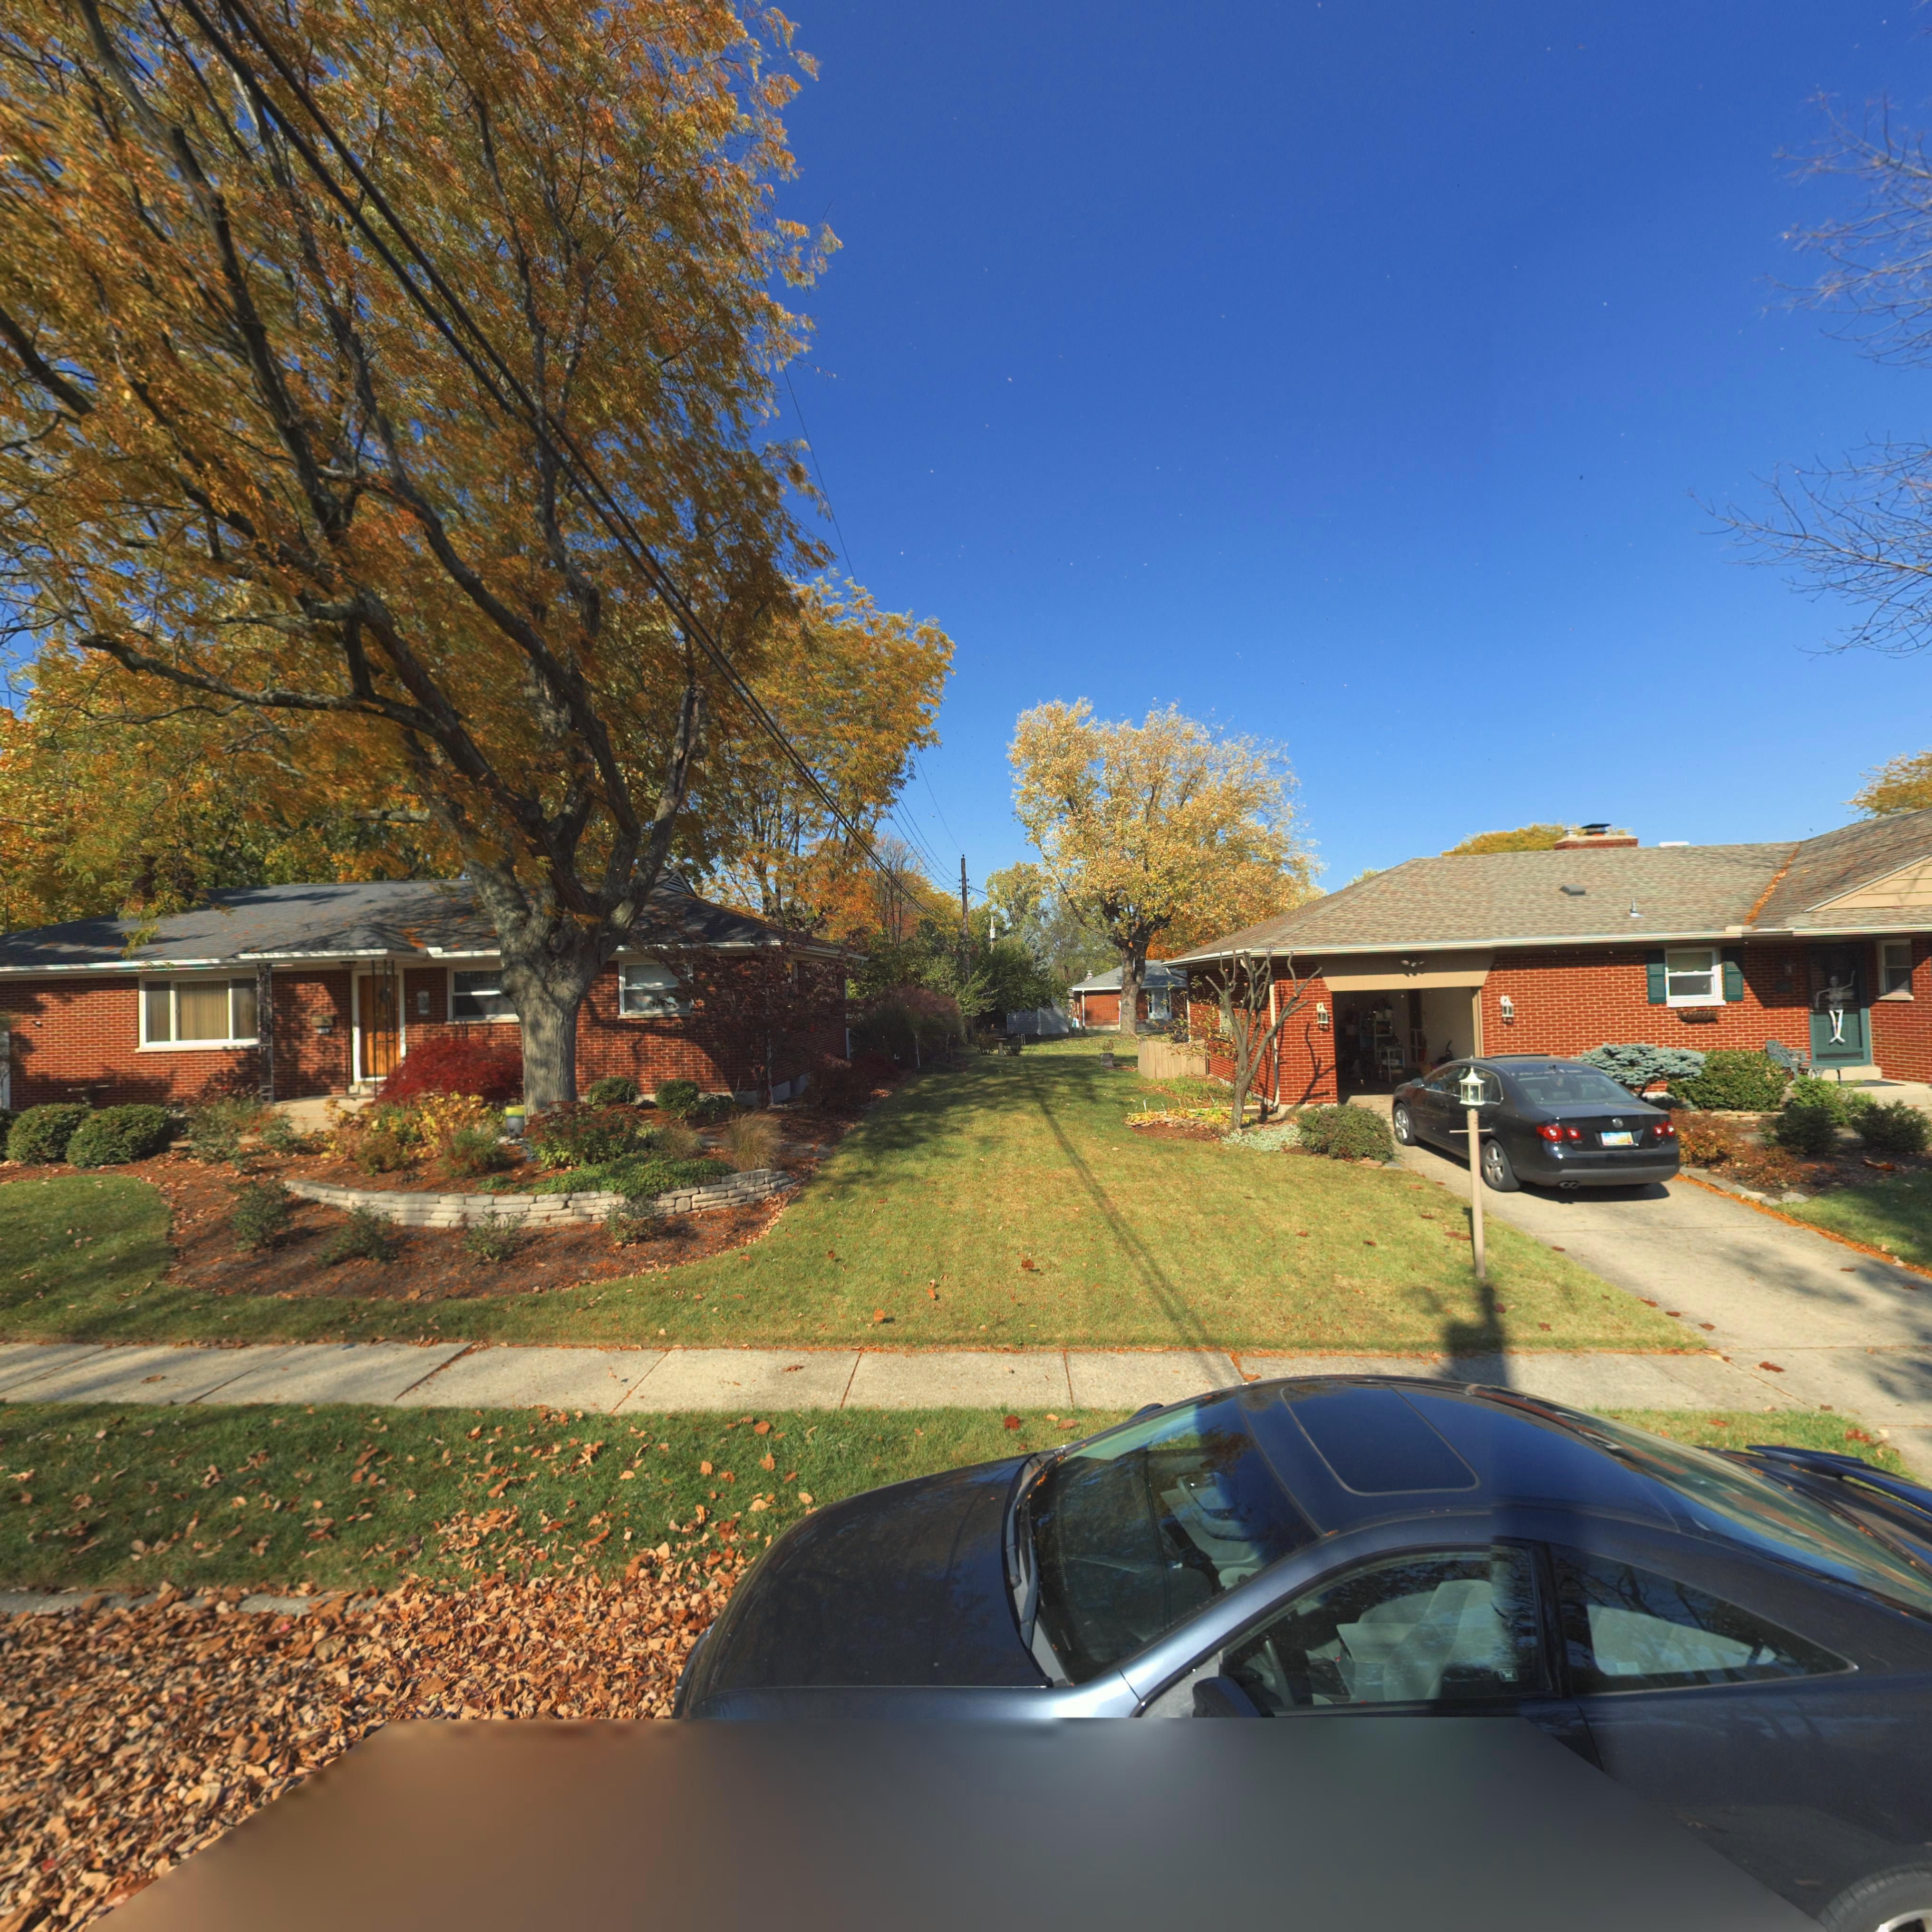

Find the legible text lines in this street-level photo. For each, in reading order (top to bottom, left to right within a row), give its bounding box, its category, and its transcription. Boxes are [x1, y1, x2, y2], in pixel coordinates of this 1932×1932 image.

[318, 1028, 329, 1034] StreetNumber: 1065